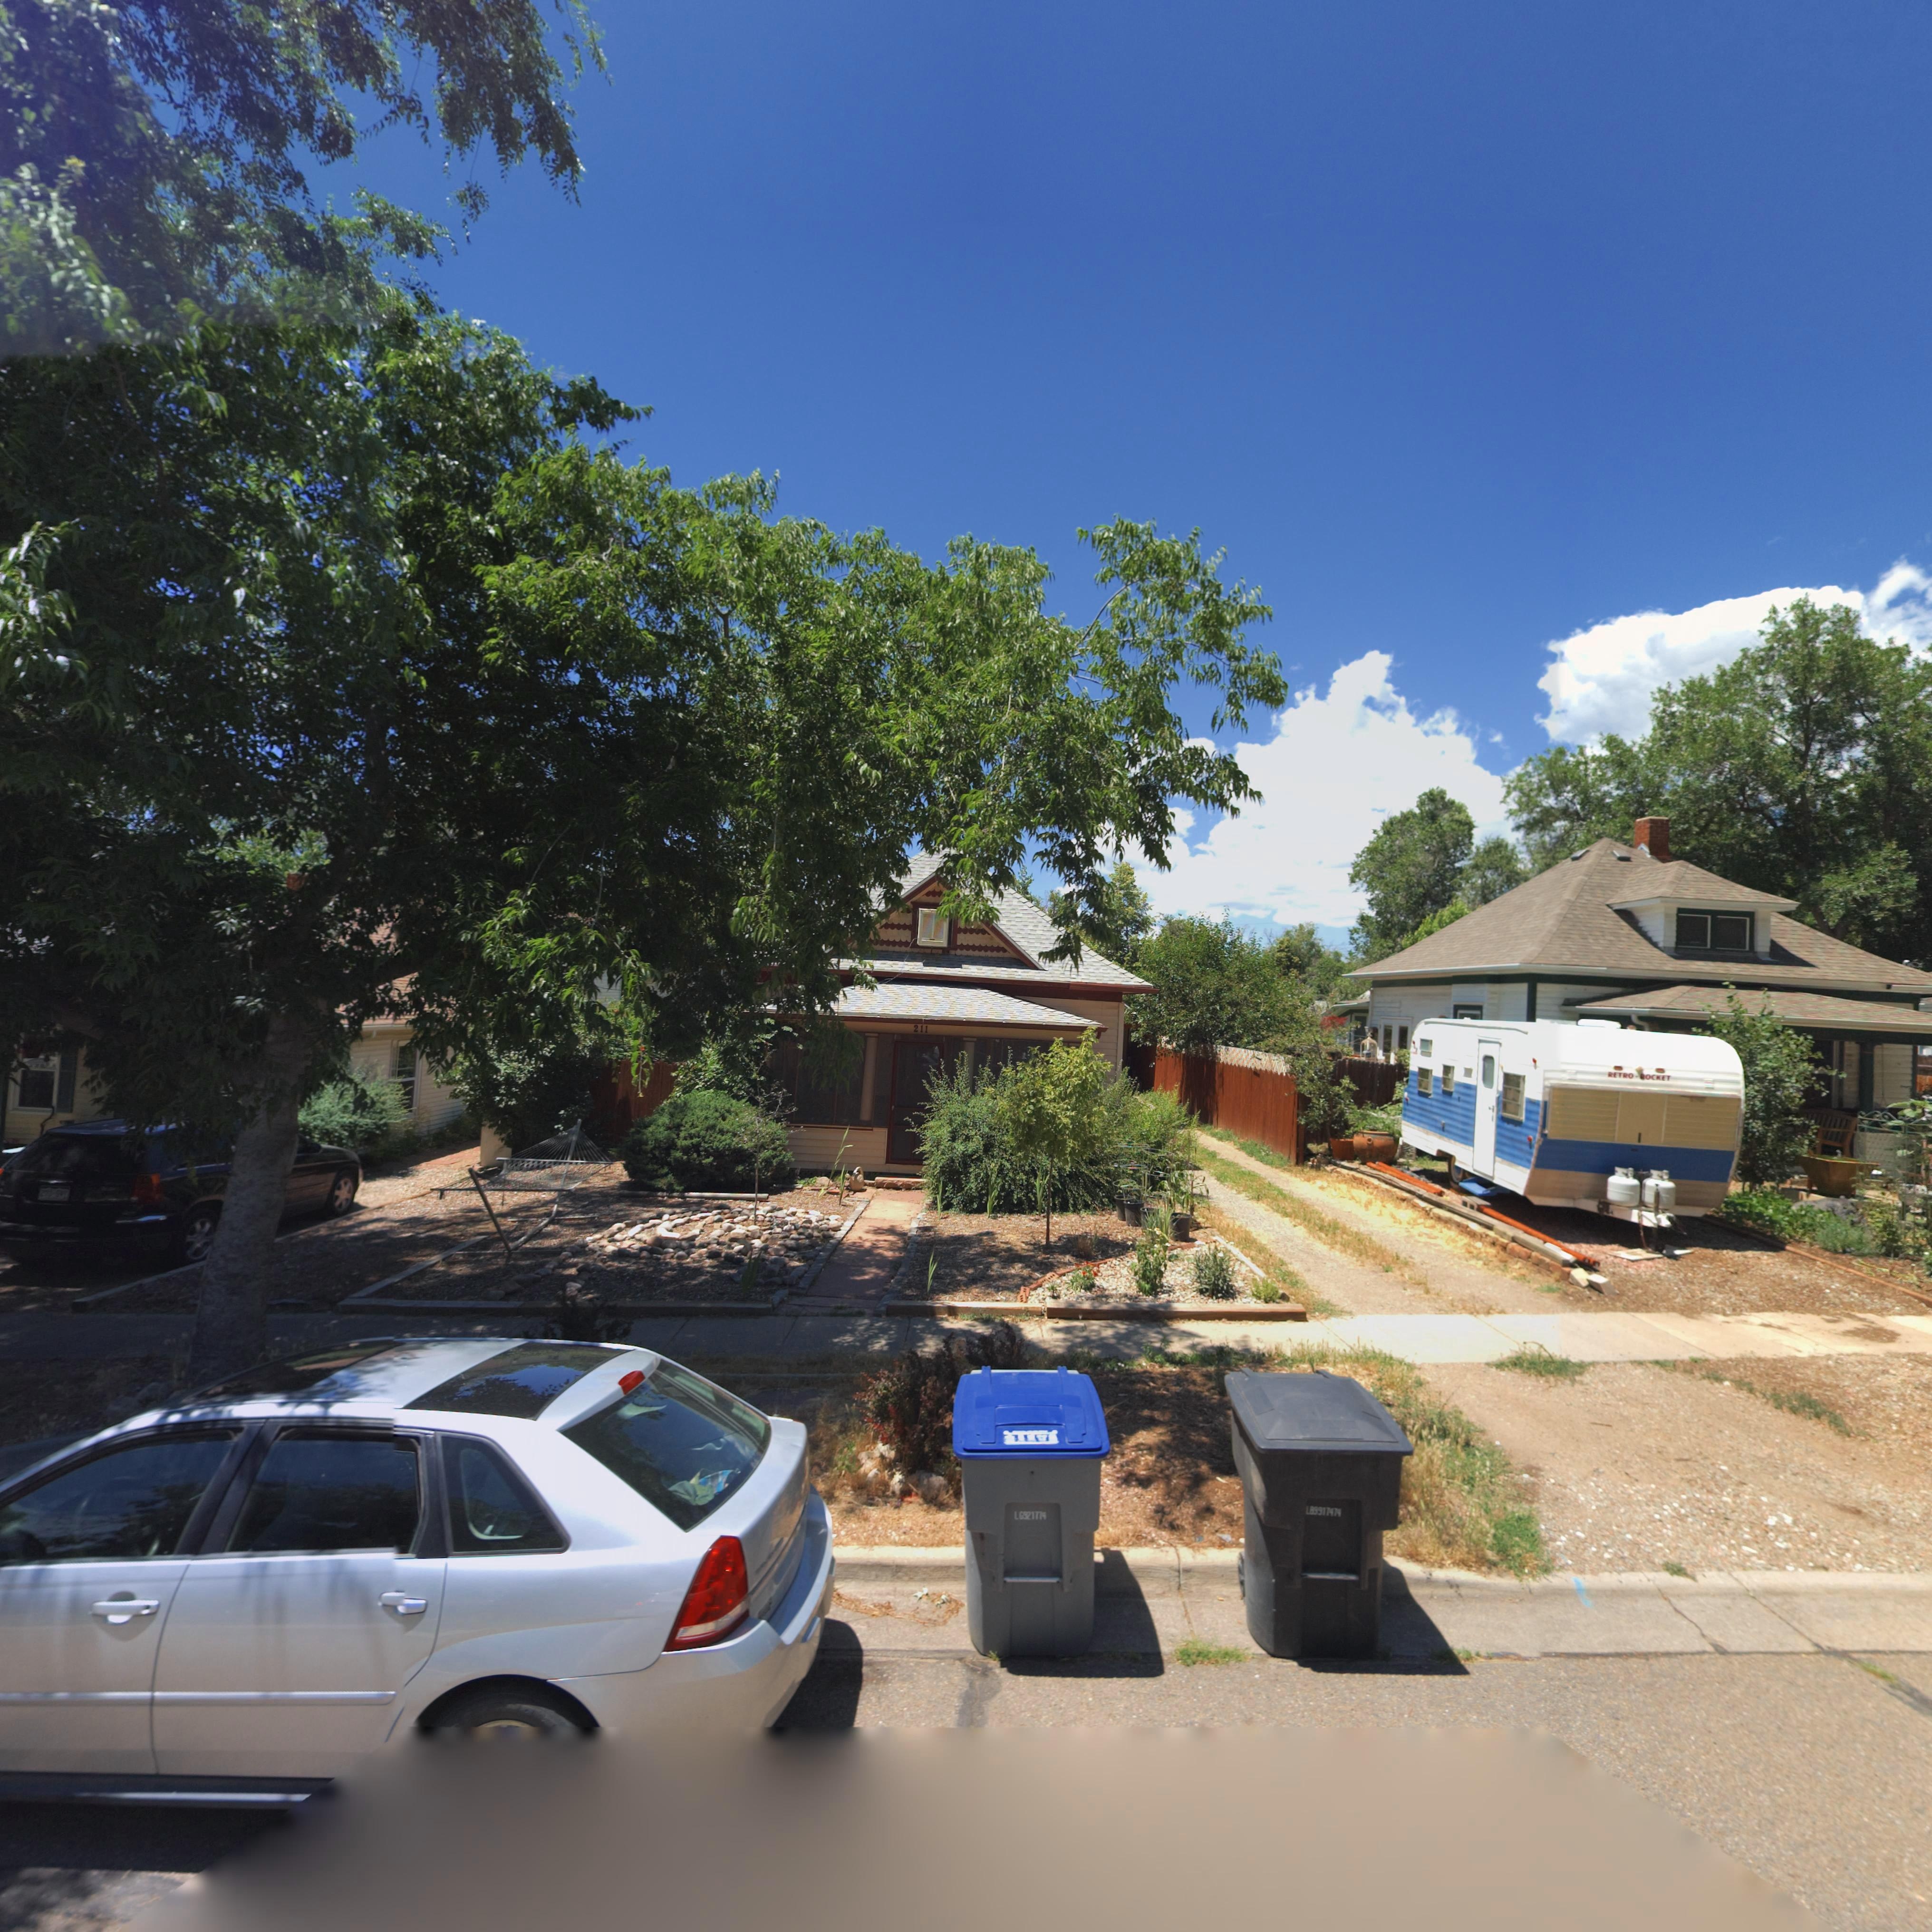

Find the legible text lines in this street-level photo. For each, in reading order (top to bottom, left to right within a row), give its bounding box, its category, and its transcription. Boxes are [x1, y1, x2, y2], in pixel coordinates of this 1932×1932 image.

[914, 1024, 927, 1033] StreetNumber: 211